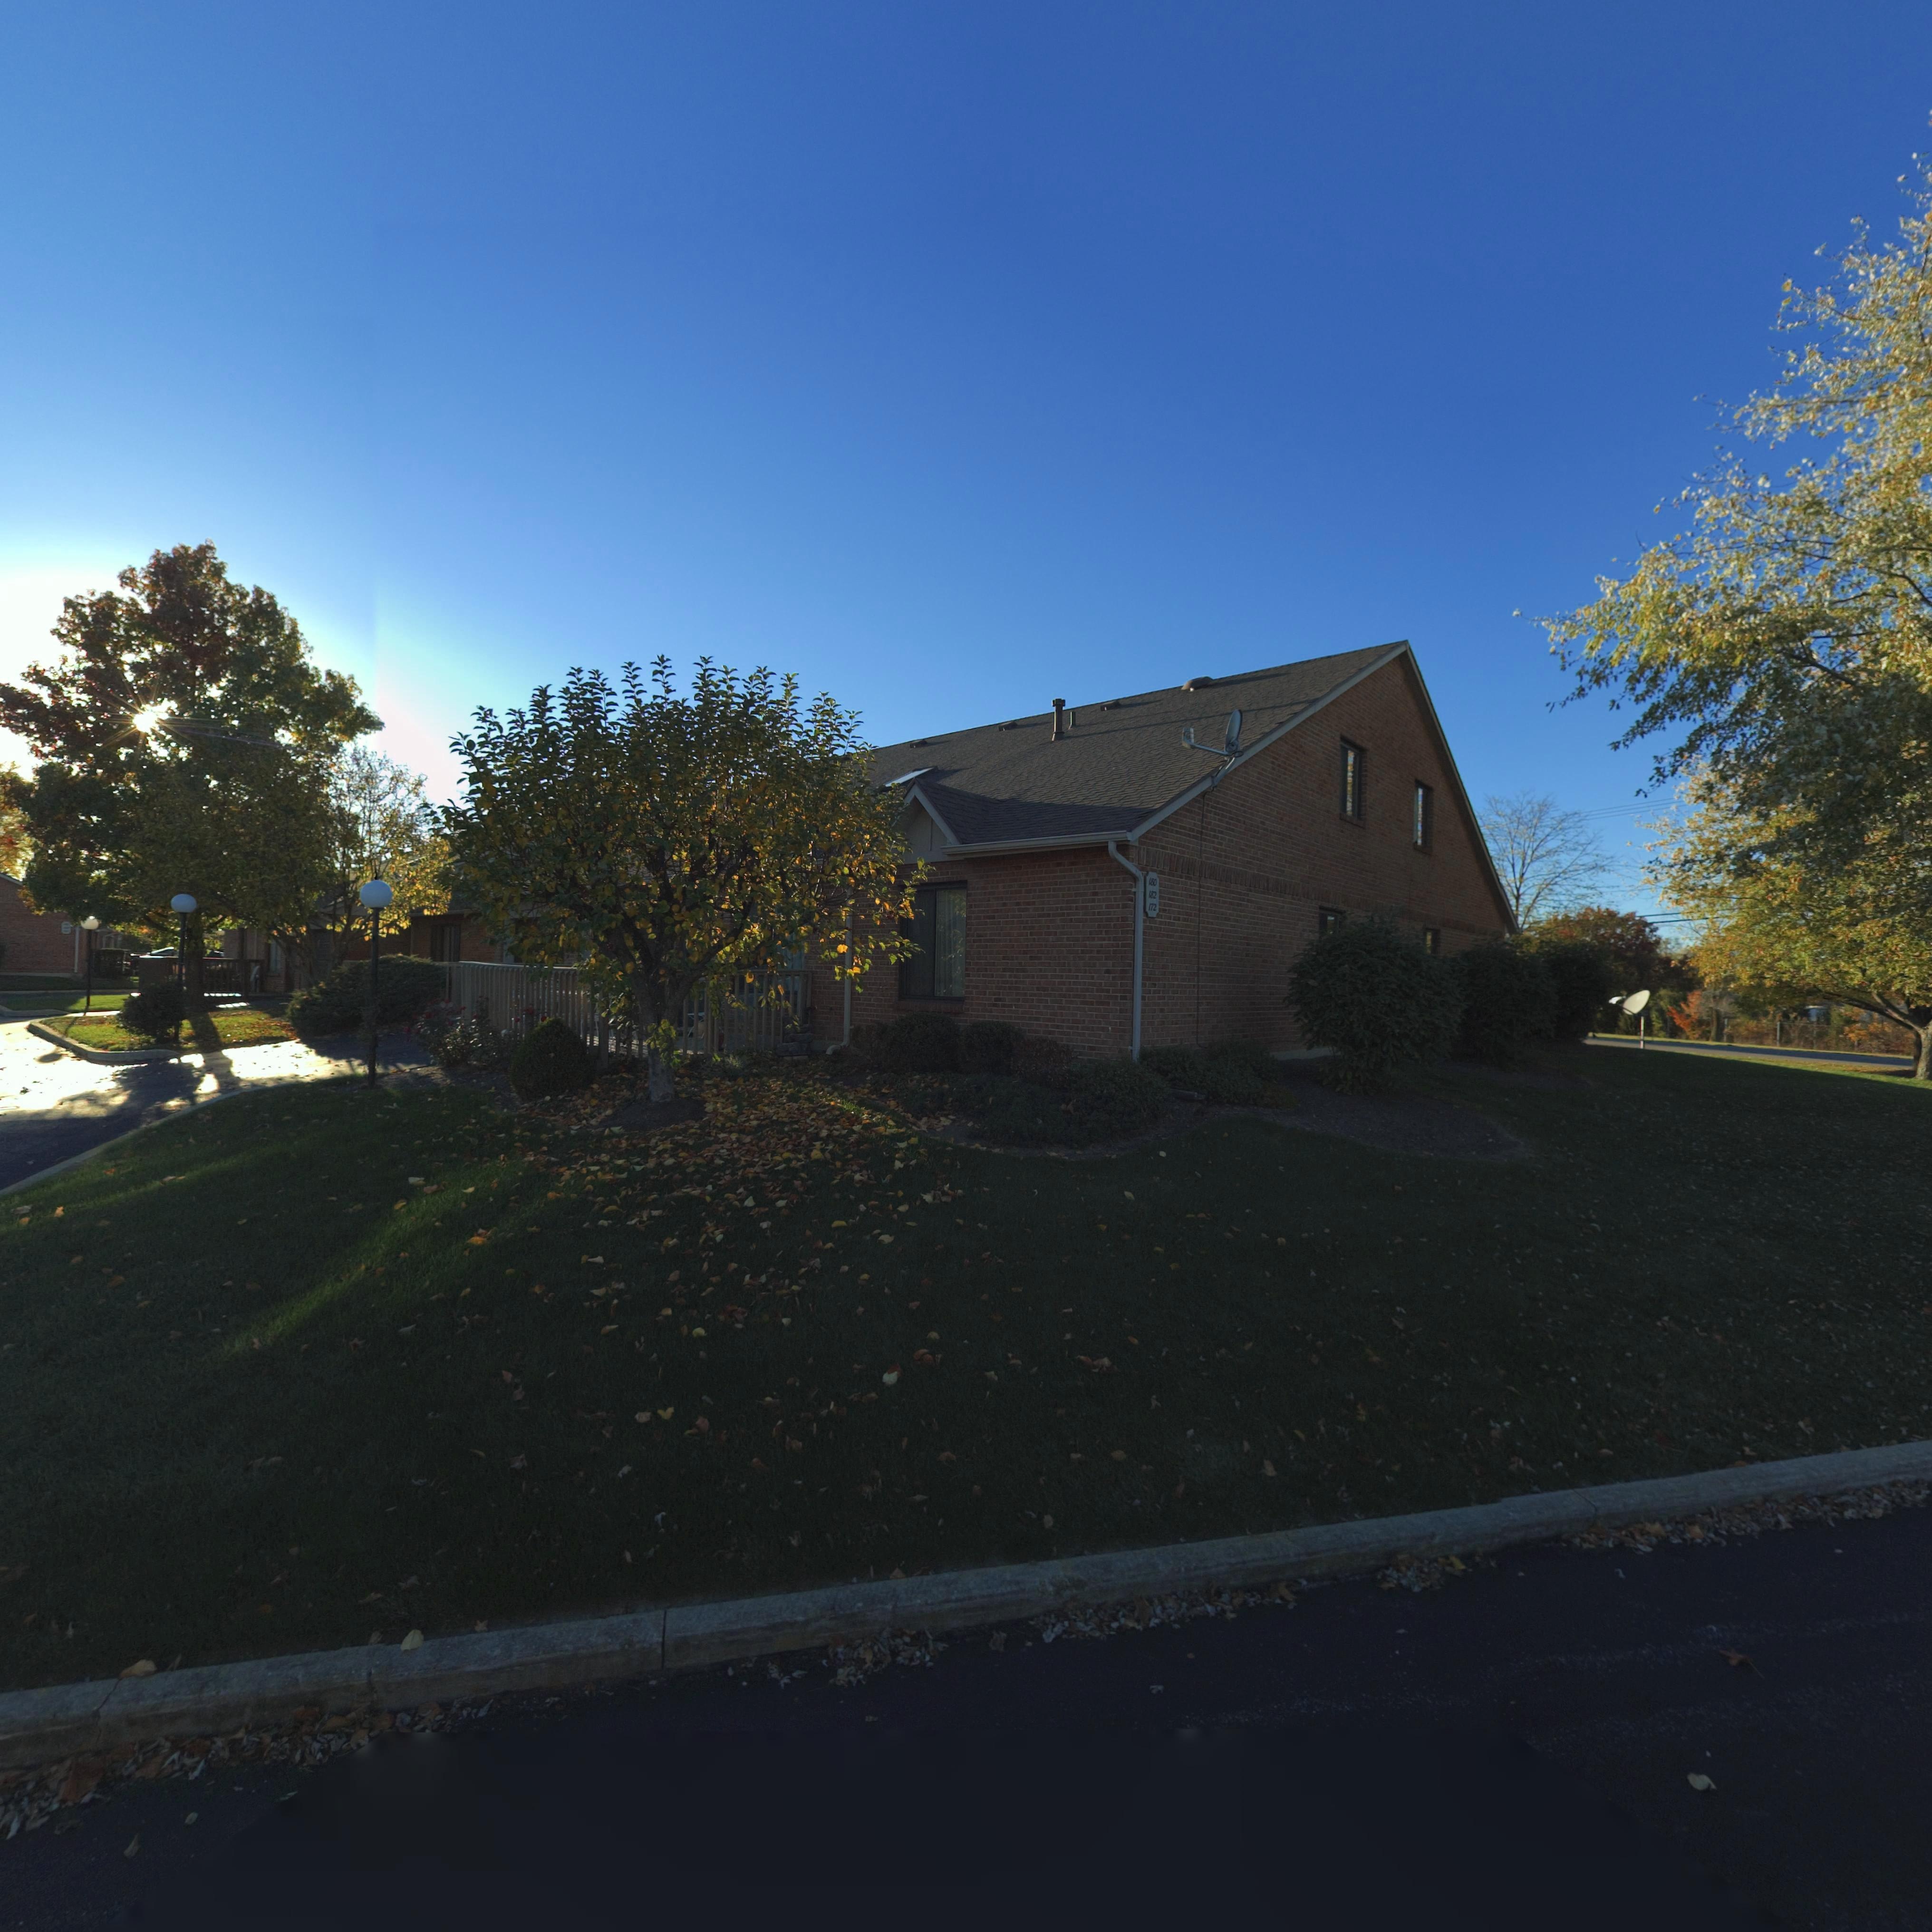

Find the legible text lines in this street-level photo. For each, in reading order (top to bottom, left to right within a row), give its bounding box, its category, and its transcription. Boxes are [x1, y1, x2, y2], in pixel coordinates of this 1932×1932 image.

[1148, 877, 1158, 888] StreetNumber: 180
[1148, 889, 1158, 900] StreetNumber: 182
[1148, 902, 1158, 912] StreetNumber: 172